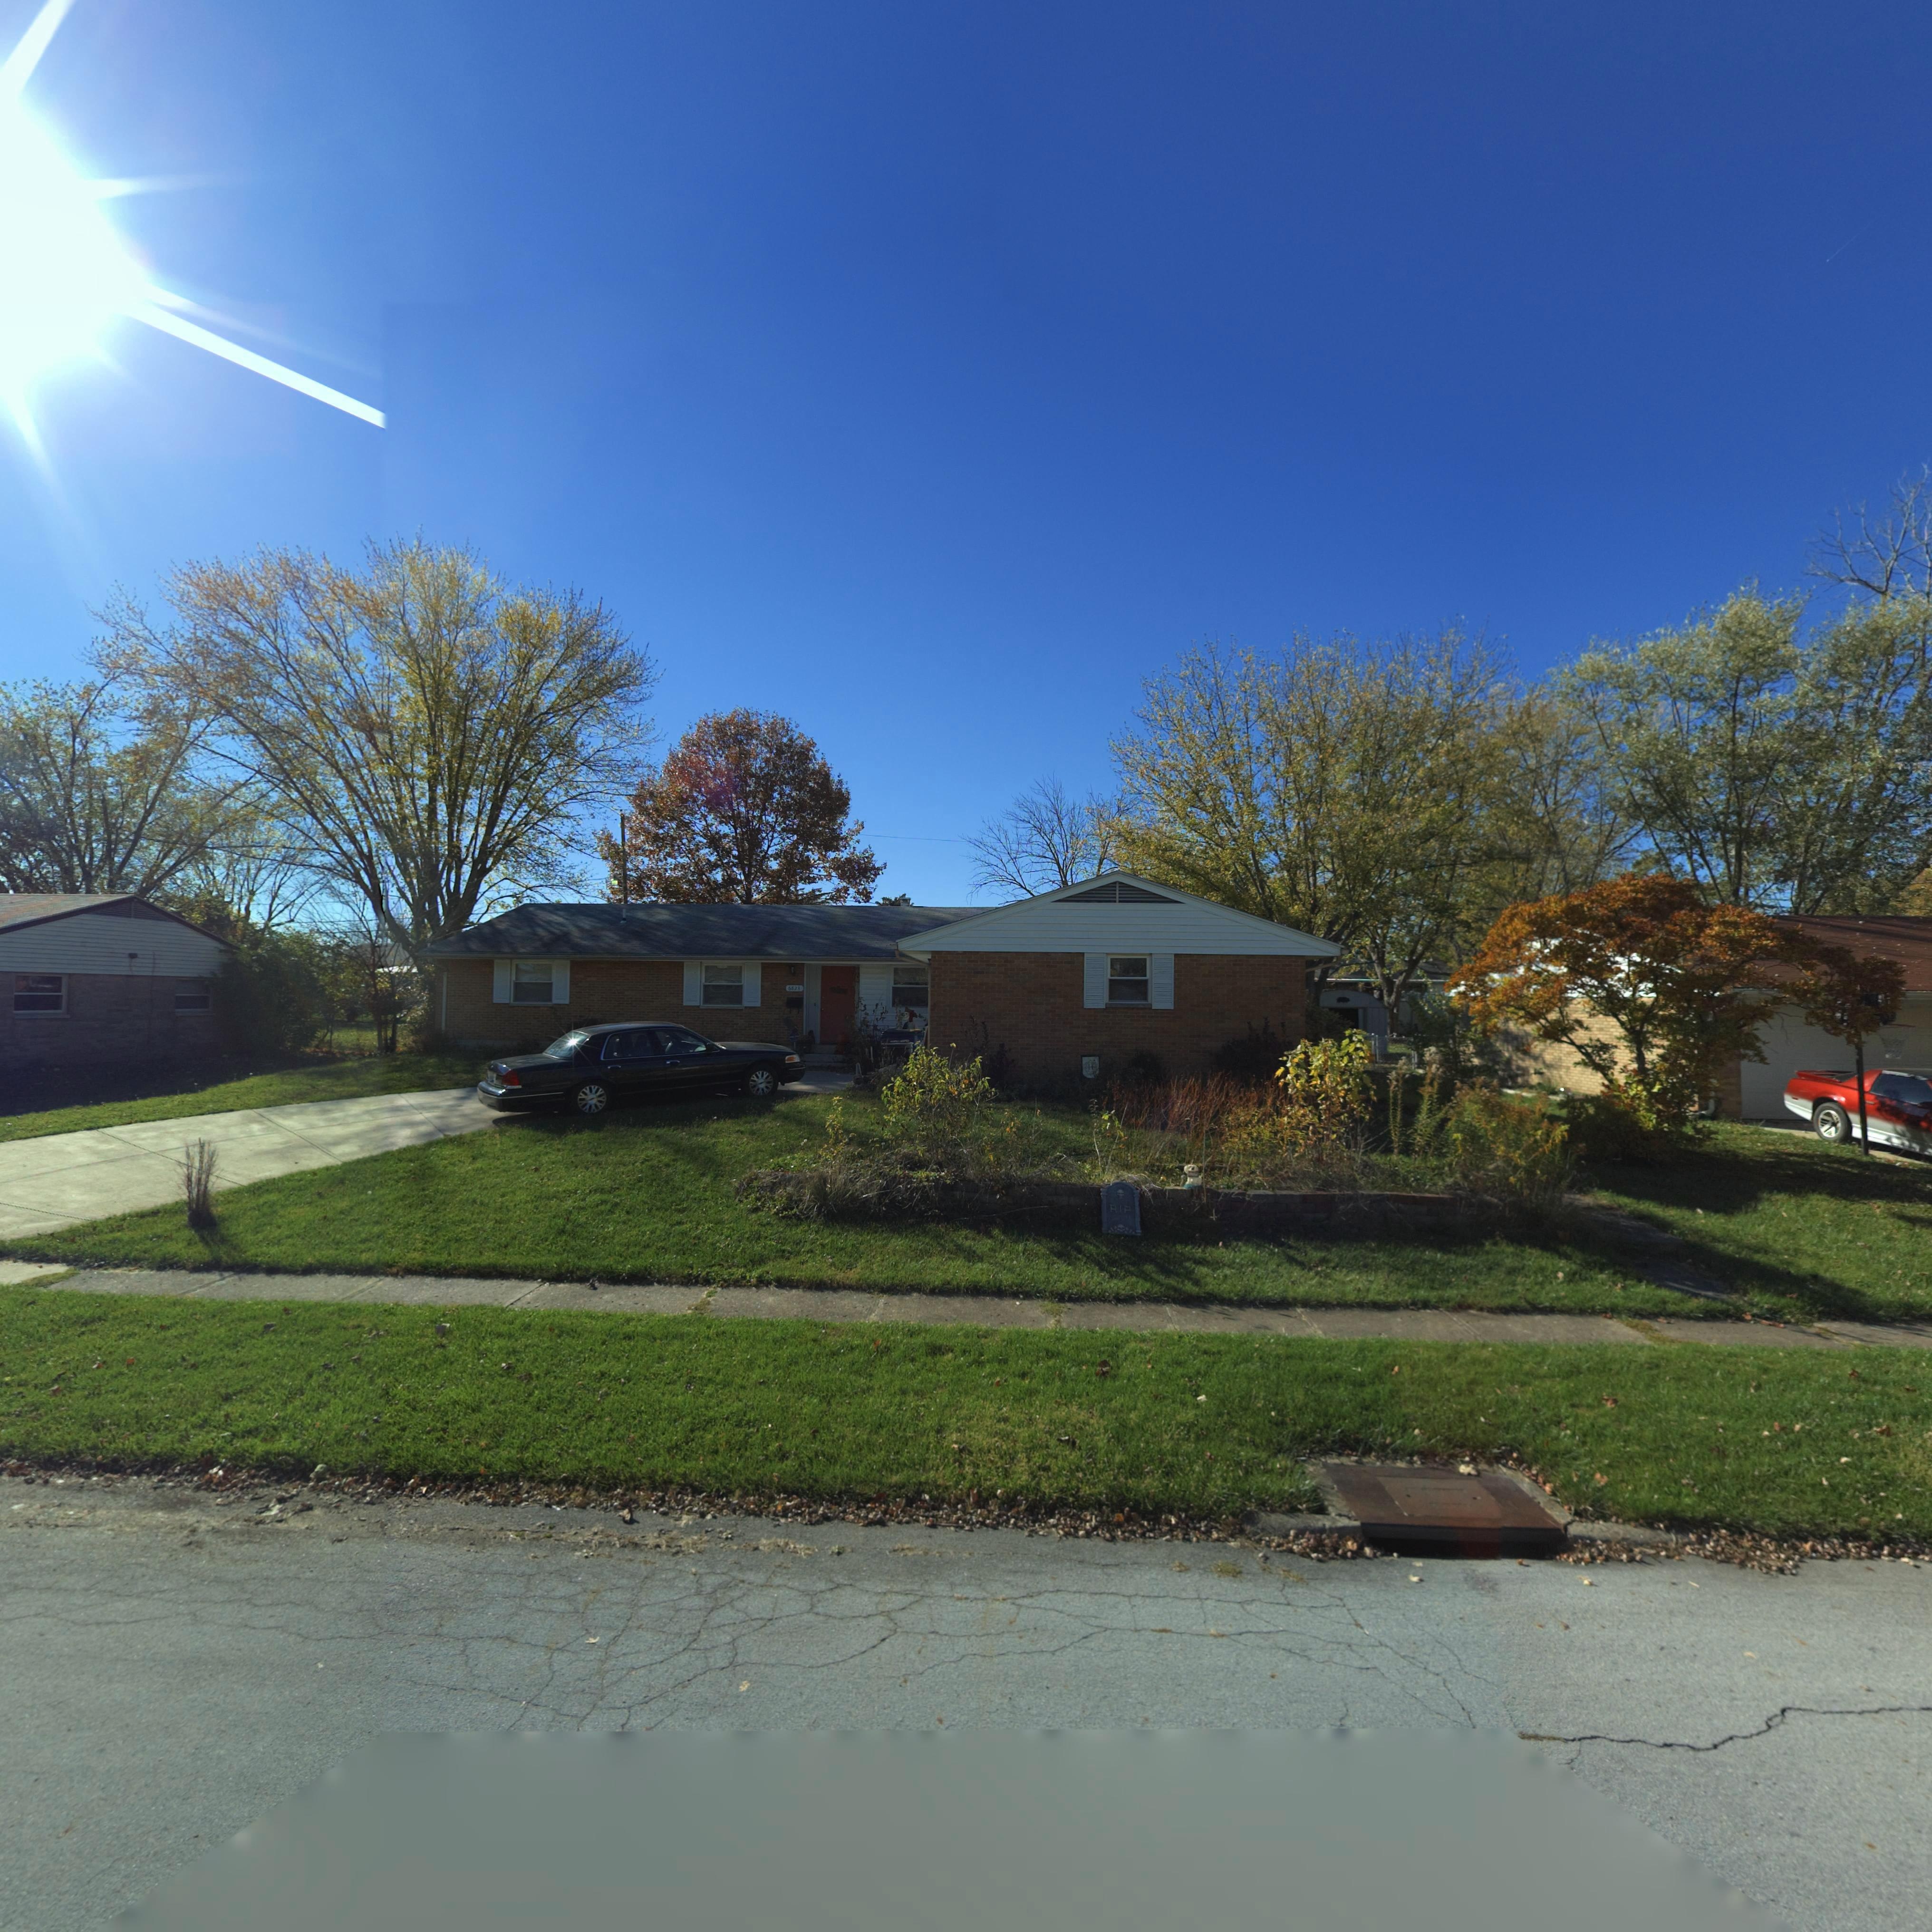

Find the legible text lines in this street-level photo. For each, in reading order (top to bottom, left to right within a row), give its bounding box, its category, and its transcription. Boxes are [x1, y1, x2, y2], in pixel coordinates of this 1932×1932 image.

[788, 985, 801, 991] StreetNumber: 6823
[1108, 1203, 1132, 1215] None: RIP